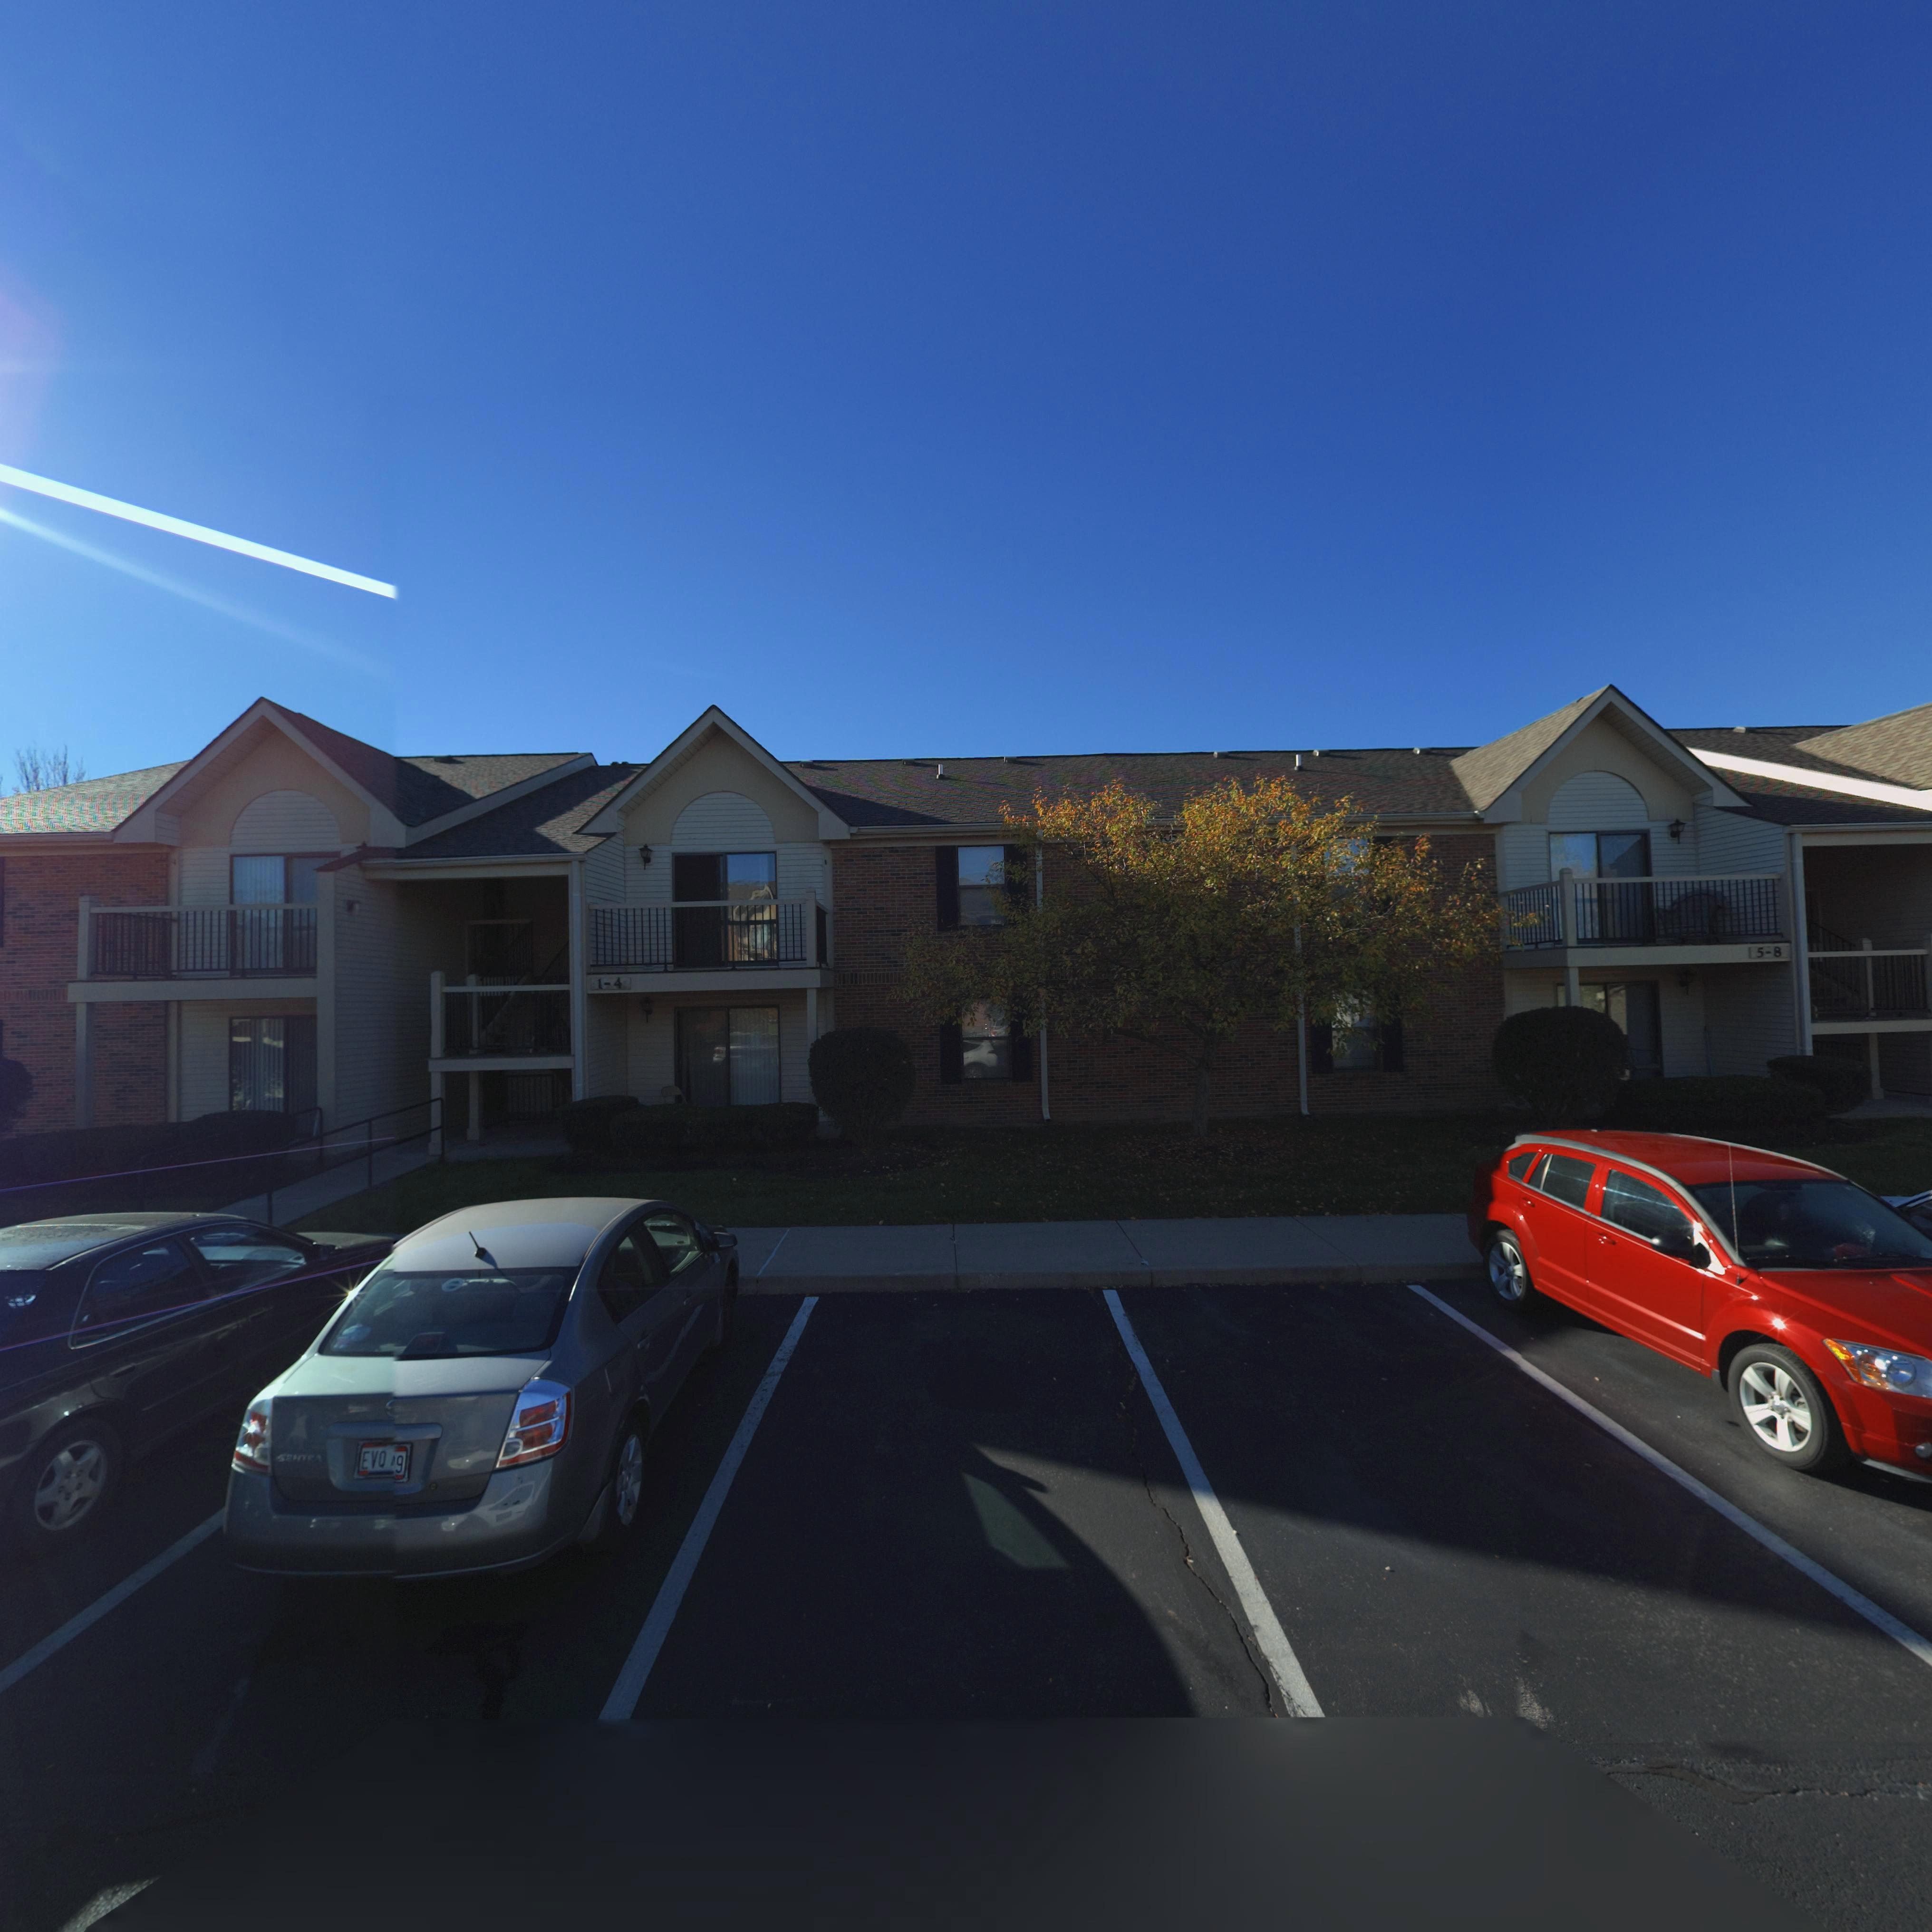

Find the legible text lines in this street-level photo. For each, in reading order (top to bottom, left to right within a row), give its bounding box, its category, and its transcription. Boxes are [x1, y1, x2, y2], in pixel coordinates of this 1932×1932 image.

[1756, 946, 1782, 958] StreetNumber: 5-8
[597, 977, 624, 990] StreetNumber: 1-4